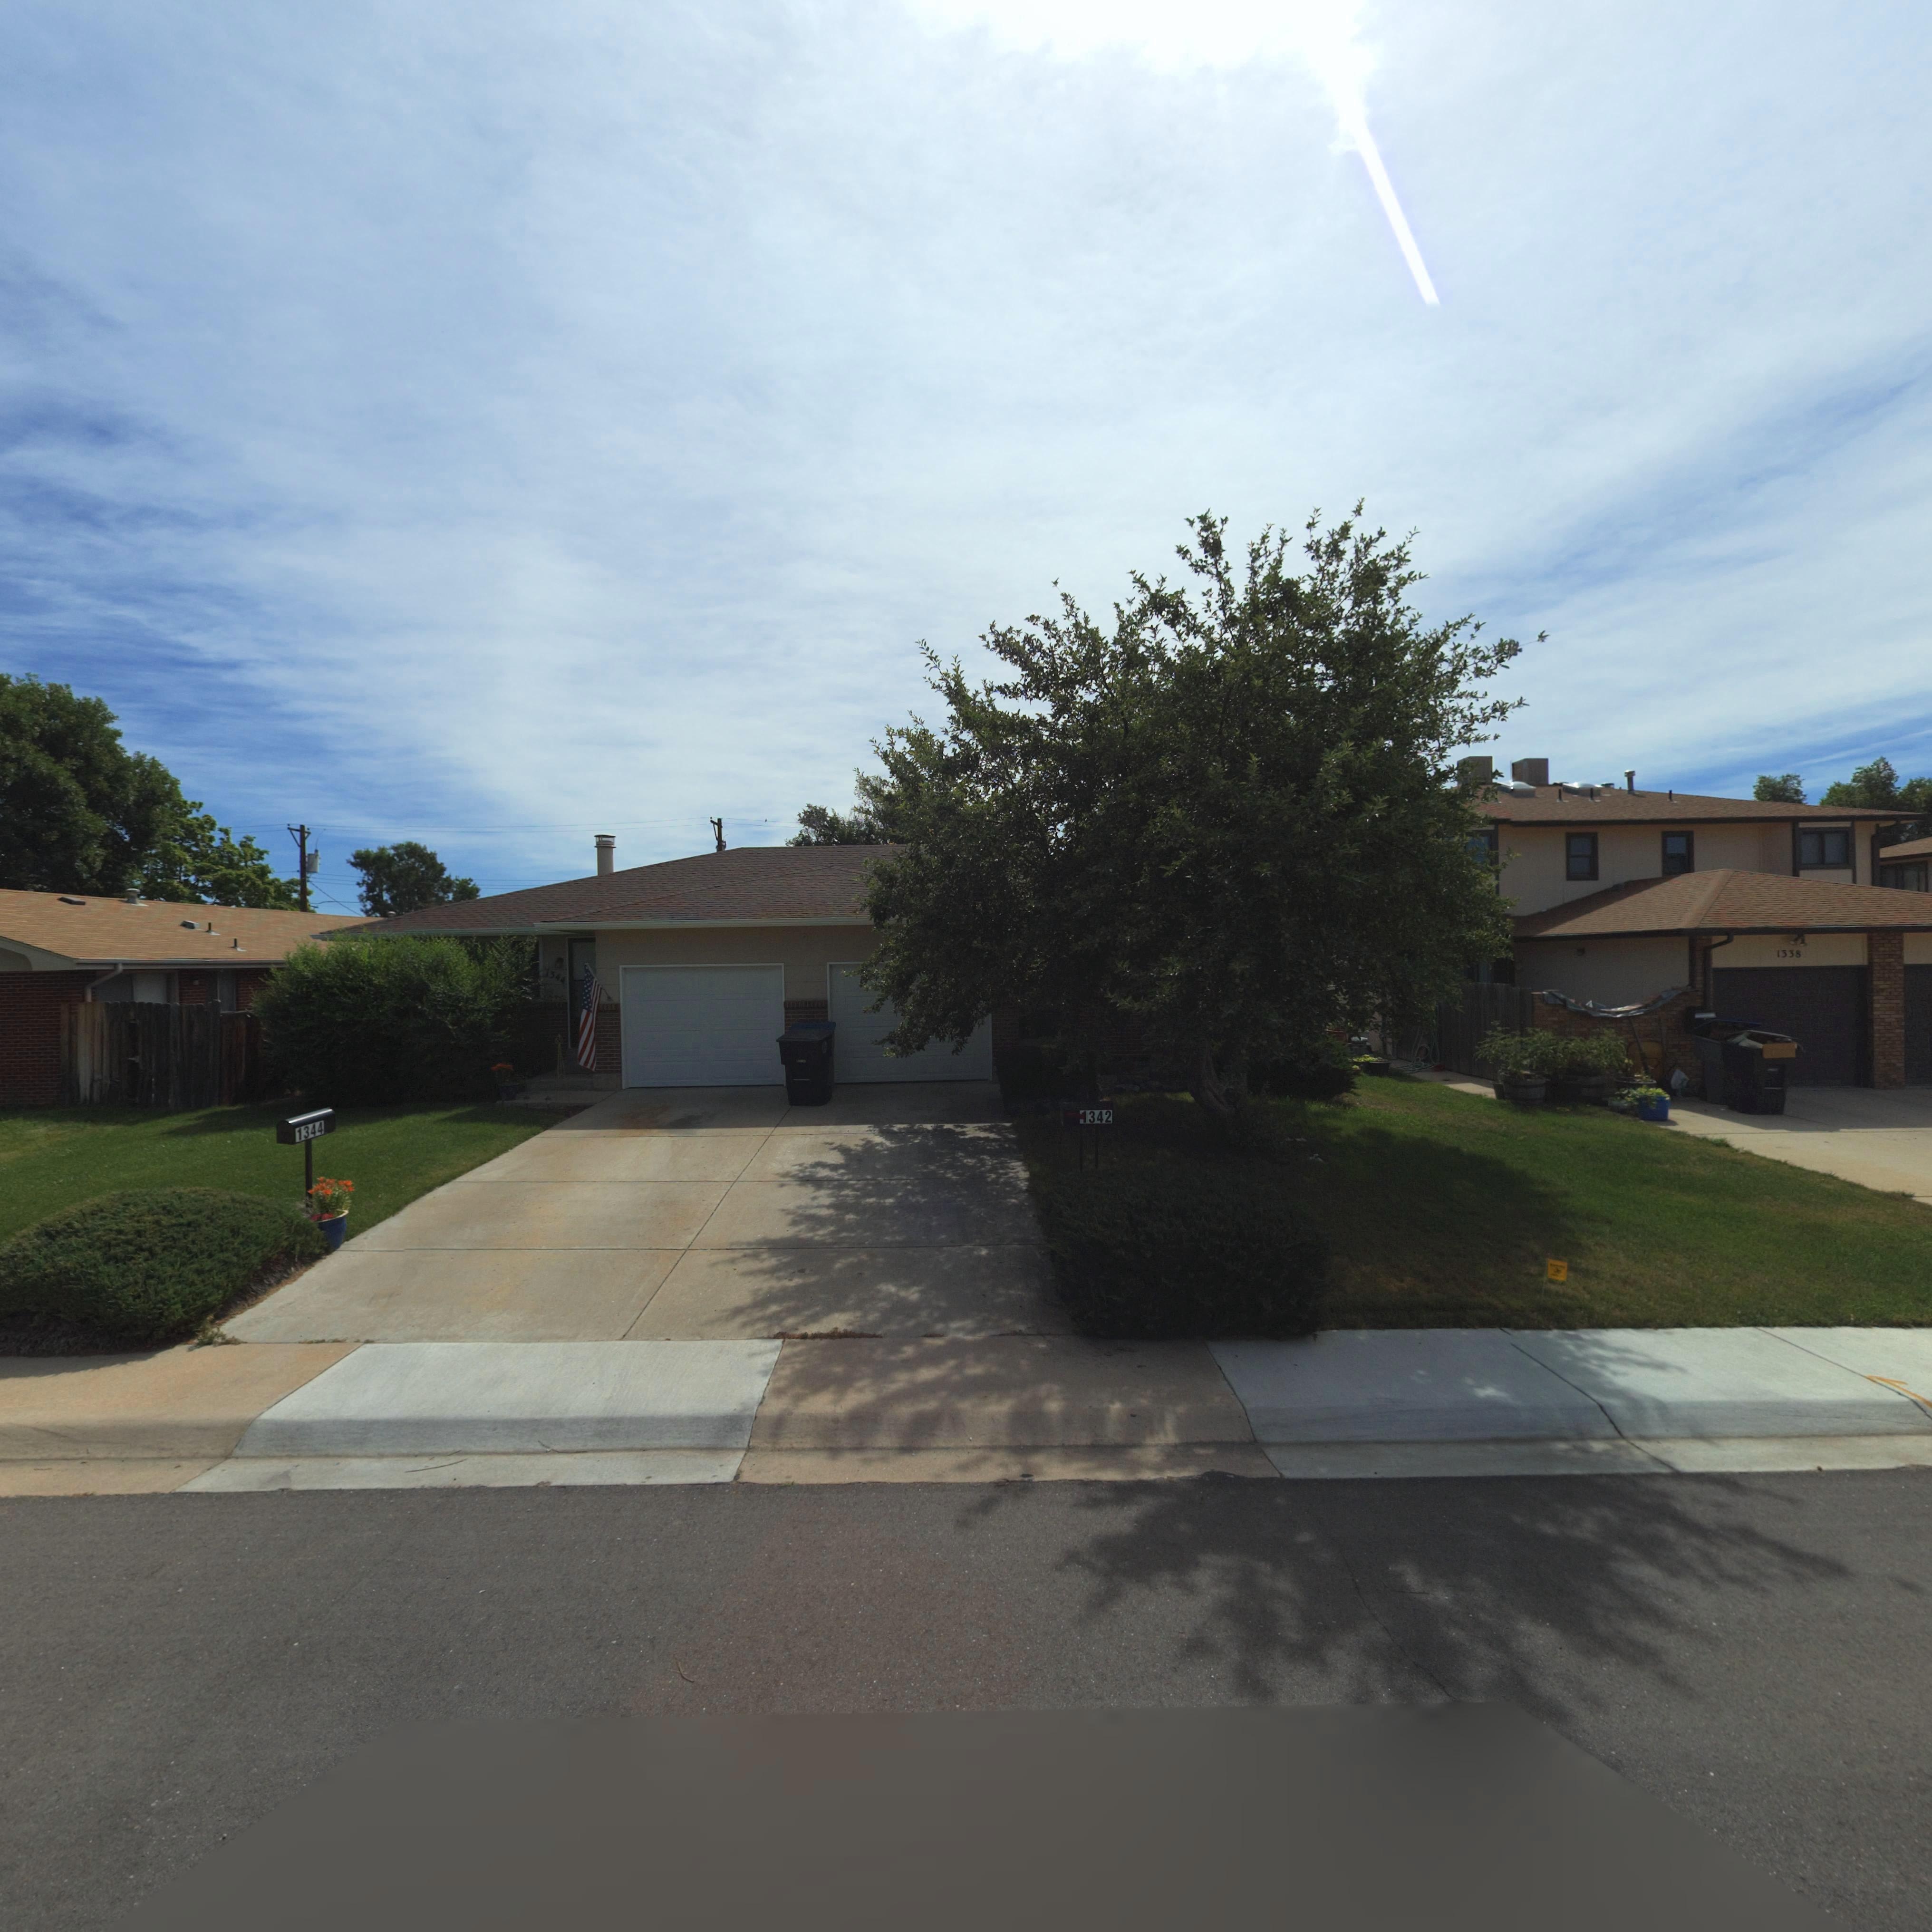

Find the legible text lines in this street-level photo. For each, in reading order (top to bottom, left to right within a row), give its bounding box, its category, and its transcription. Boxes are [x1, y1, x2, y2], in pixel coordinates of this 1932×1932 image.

[1777, 949, 1801, 958] StreetNumber: 1338
[544, 967, 566, 985] StreetNumber: 1344
[1081, 1110, 1111, 1122] StreetNumber: 1342
[297, 1121, 323, 1141] StreetNumber: 1344